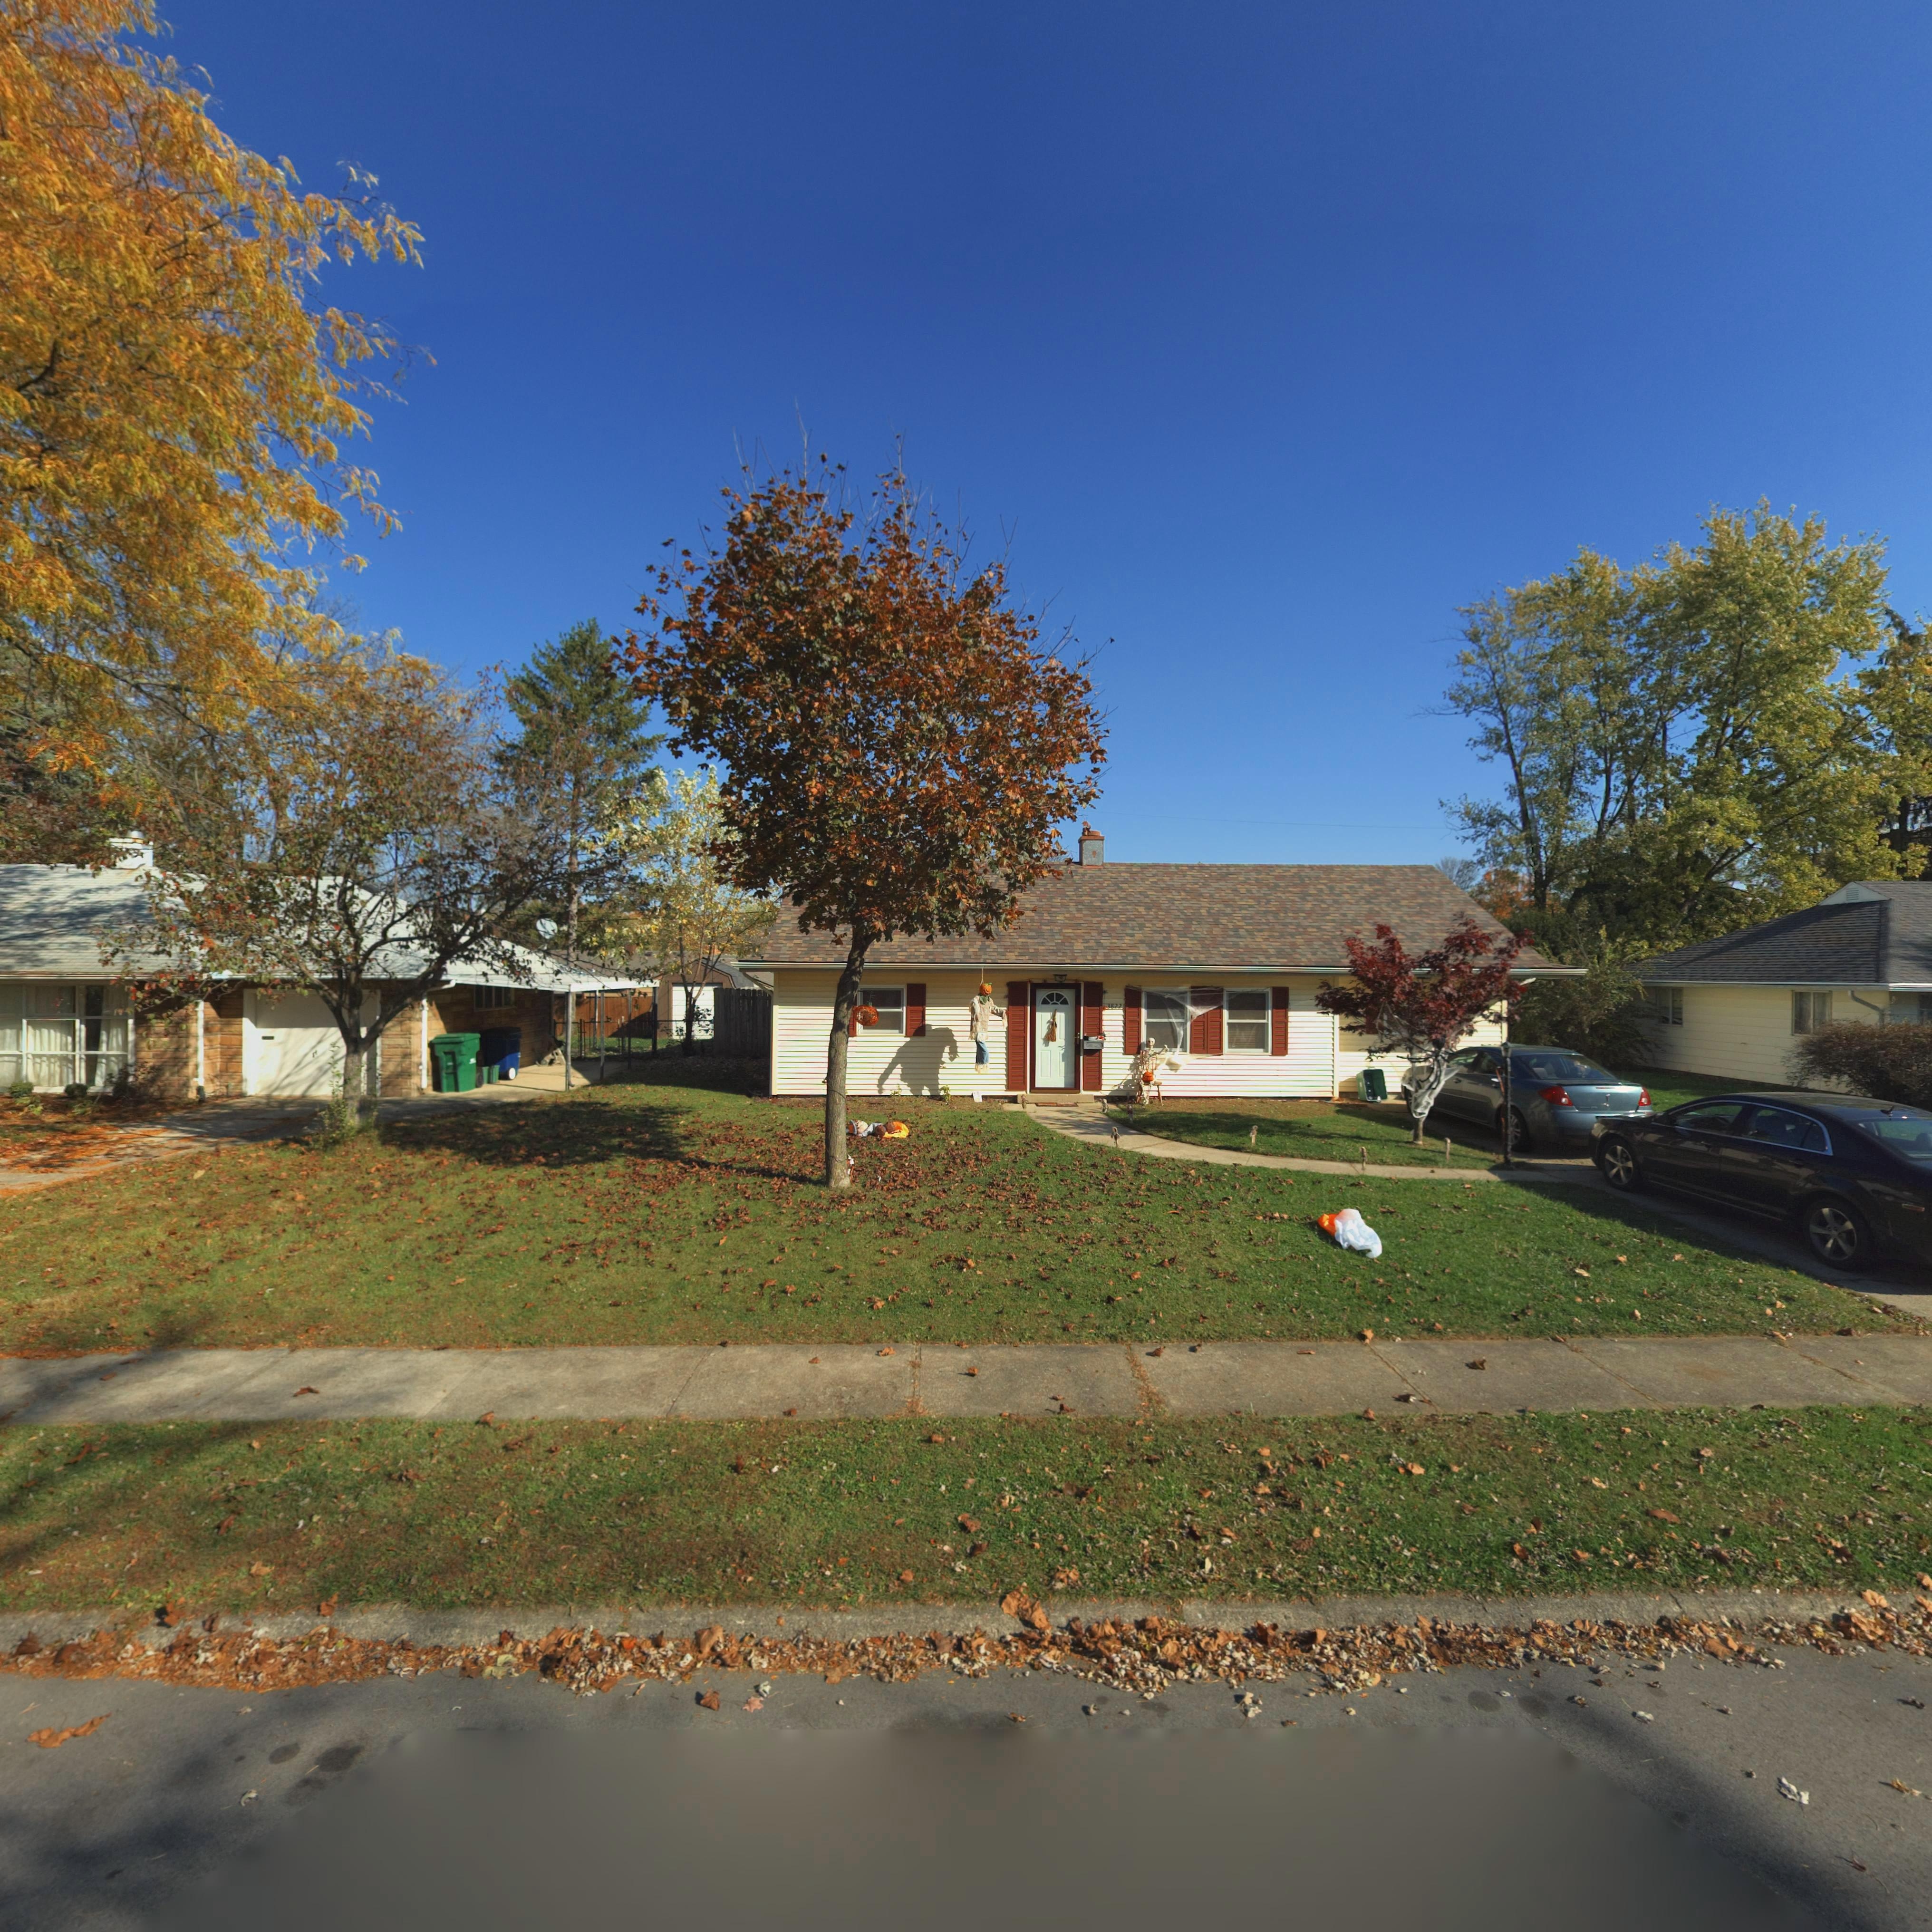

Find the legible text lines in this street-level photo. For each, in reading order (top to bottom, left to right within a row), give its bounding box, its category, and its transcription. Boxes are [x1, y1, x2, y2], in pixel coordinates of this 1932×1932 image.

[1107, 1003, 1122, 1009] StreetNumber: 3822